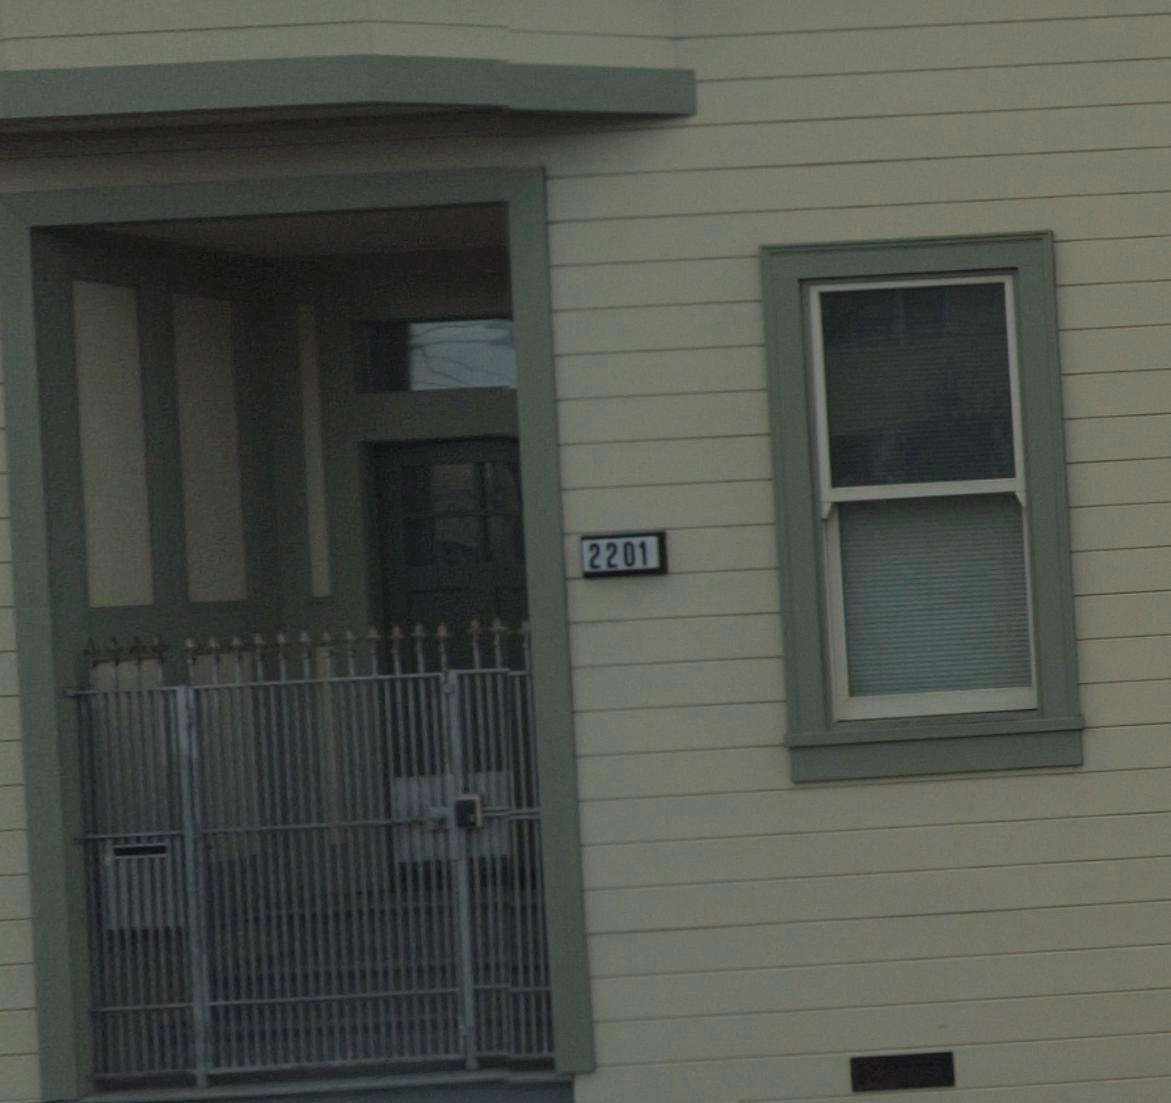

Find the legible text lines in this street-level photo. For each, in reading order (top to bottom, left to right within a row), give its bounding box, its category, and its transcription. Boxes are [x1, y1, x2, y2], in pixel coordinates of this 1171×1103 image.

[586, 538, 651, 571] StreetNumber: 2201